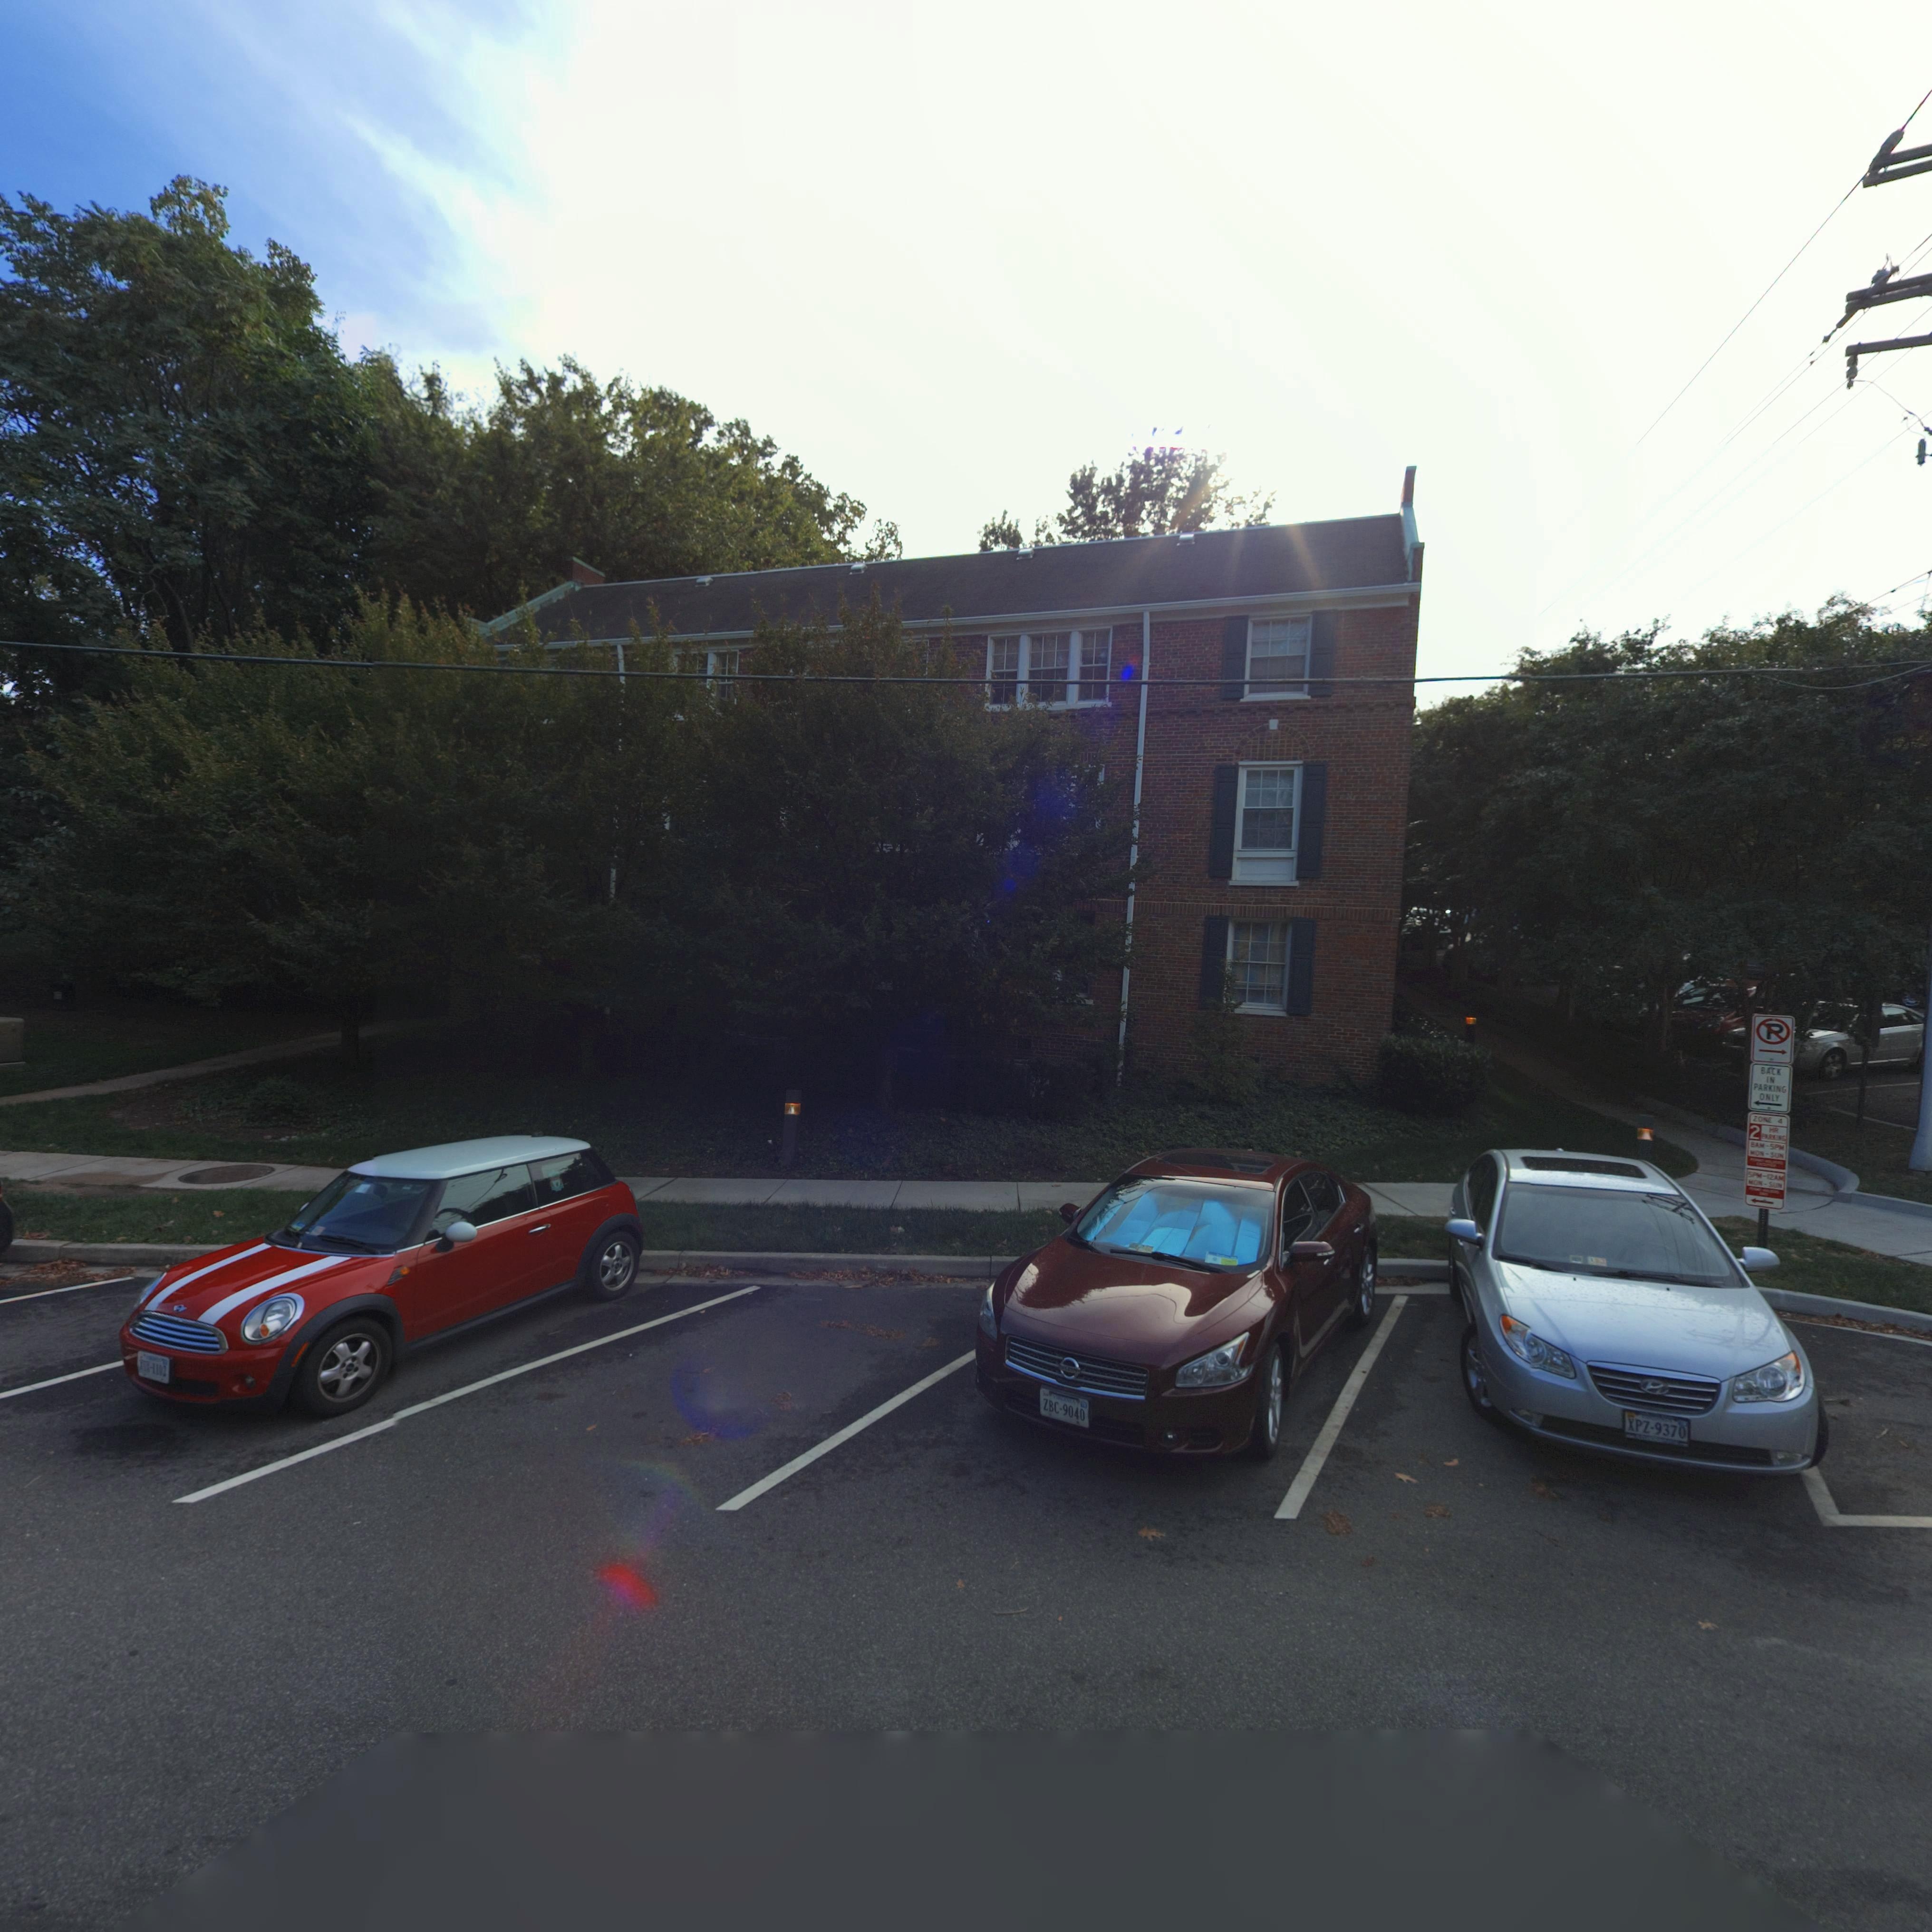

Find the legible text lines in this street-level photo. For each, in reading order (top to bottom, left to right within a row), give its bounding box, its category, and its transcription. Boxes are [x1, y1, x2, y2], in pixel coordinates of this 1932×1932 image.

[1760, 1066, 1783, 1077] None: BACK
[1765, 1075, 1777, 1085] None: IN
[1752, 1082, 1788, 1095] None: PARKING
[1758, 1092, 1782, 1103] None: ONLY
[1752, 1114, 1784, 1126] None: ZO** 4
[1748, 1124, 1762, 1141] None: 2
[1759, 1132, 1788, 1143] None: P*R***G
[1768, 1126, 1780, 1134] None: HR
[1748, 1140, 1785, 1152] None: 8AM-5PM
[1748, 1148, 1785, 1160] None: MON-SUN
[1746, 1169, 1785, 1182] None: 5PM-12AM
[1747, 1178, 1784, 1190] None: MON-SUN
[151, 1361, 168, 1379] None: 1102
[1041, 1396, 1087, 1424] None: ZBC-9040
[1626, 1416, 1689, 1440] None: XPZ-9370